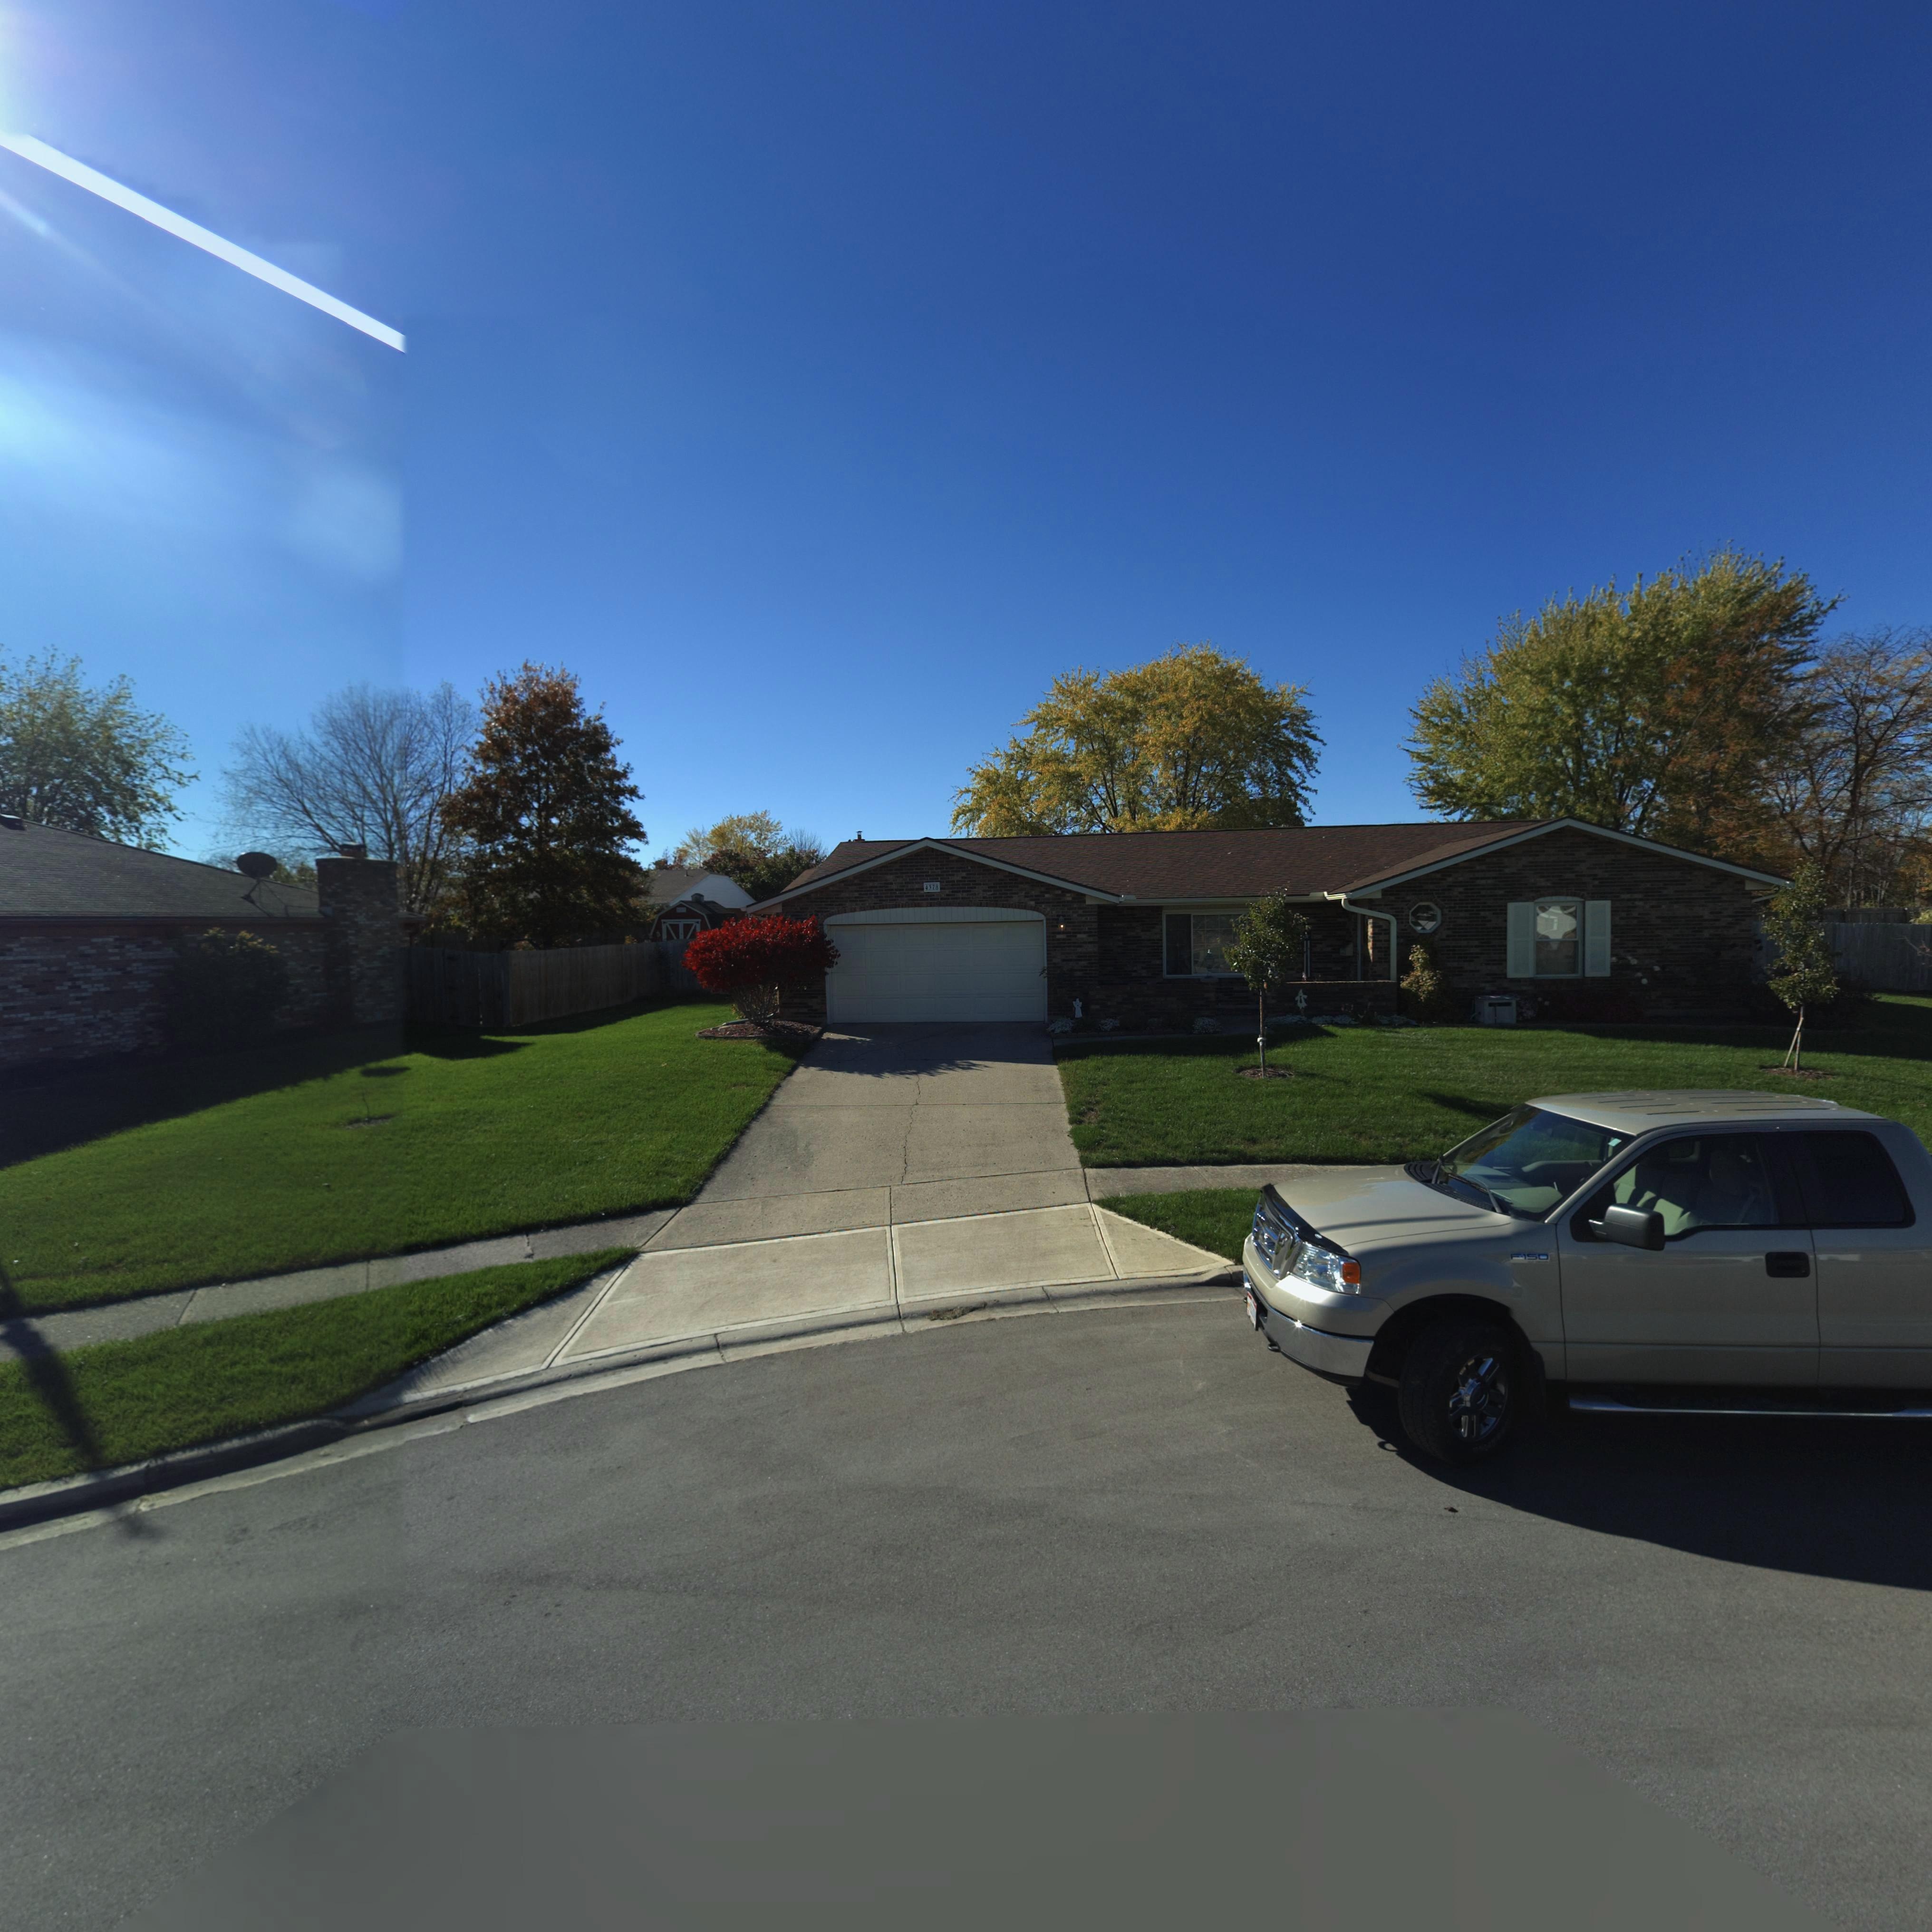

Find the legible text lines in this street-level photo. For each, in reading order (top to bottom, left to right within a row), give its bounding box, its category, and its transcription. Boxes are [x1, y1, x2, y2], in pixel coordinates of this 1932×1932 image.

[925, 884, 939, 891] StreetNumber: 4378